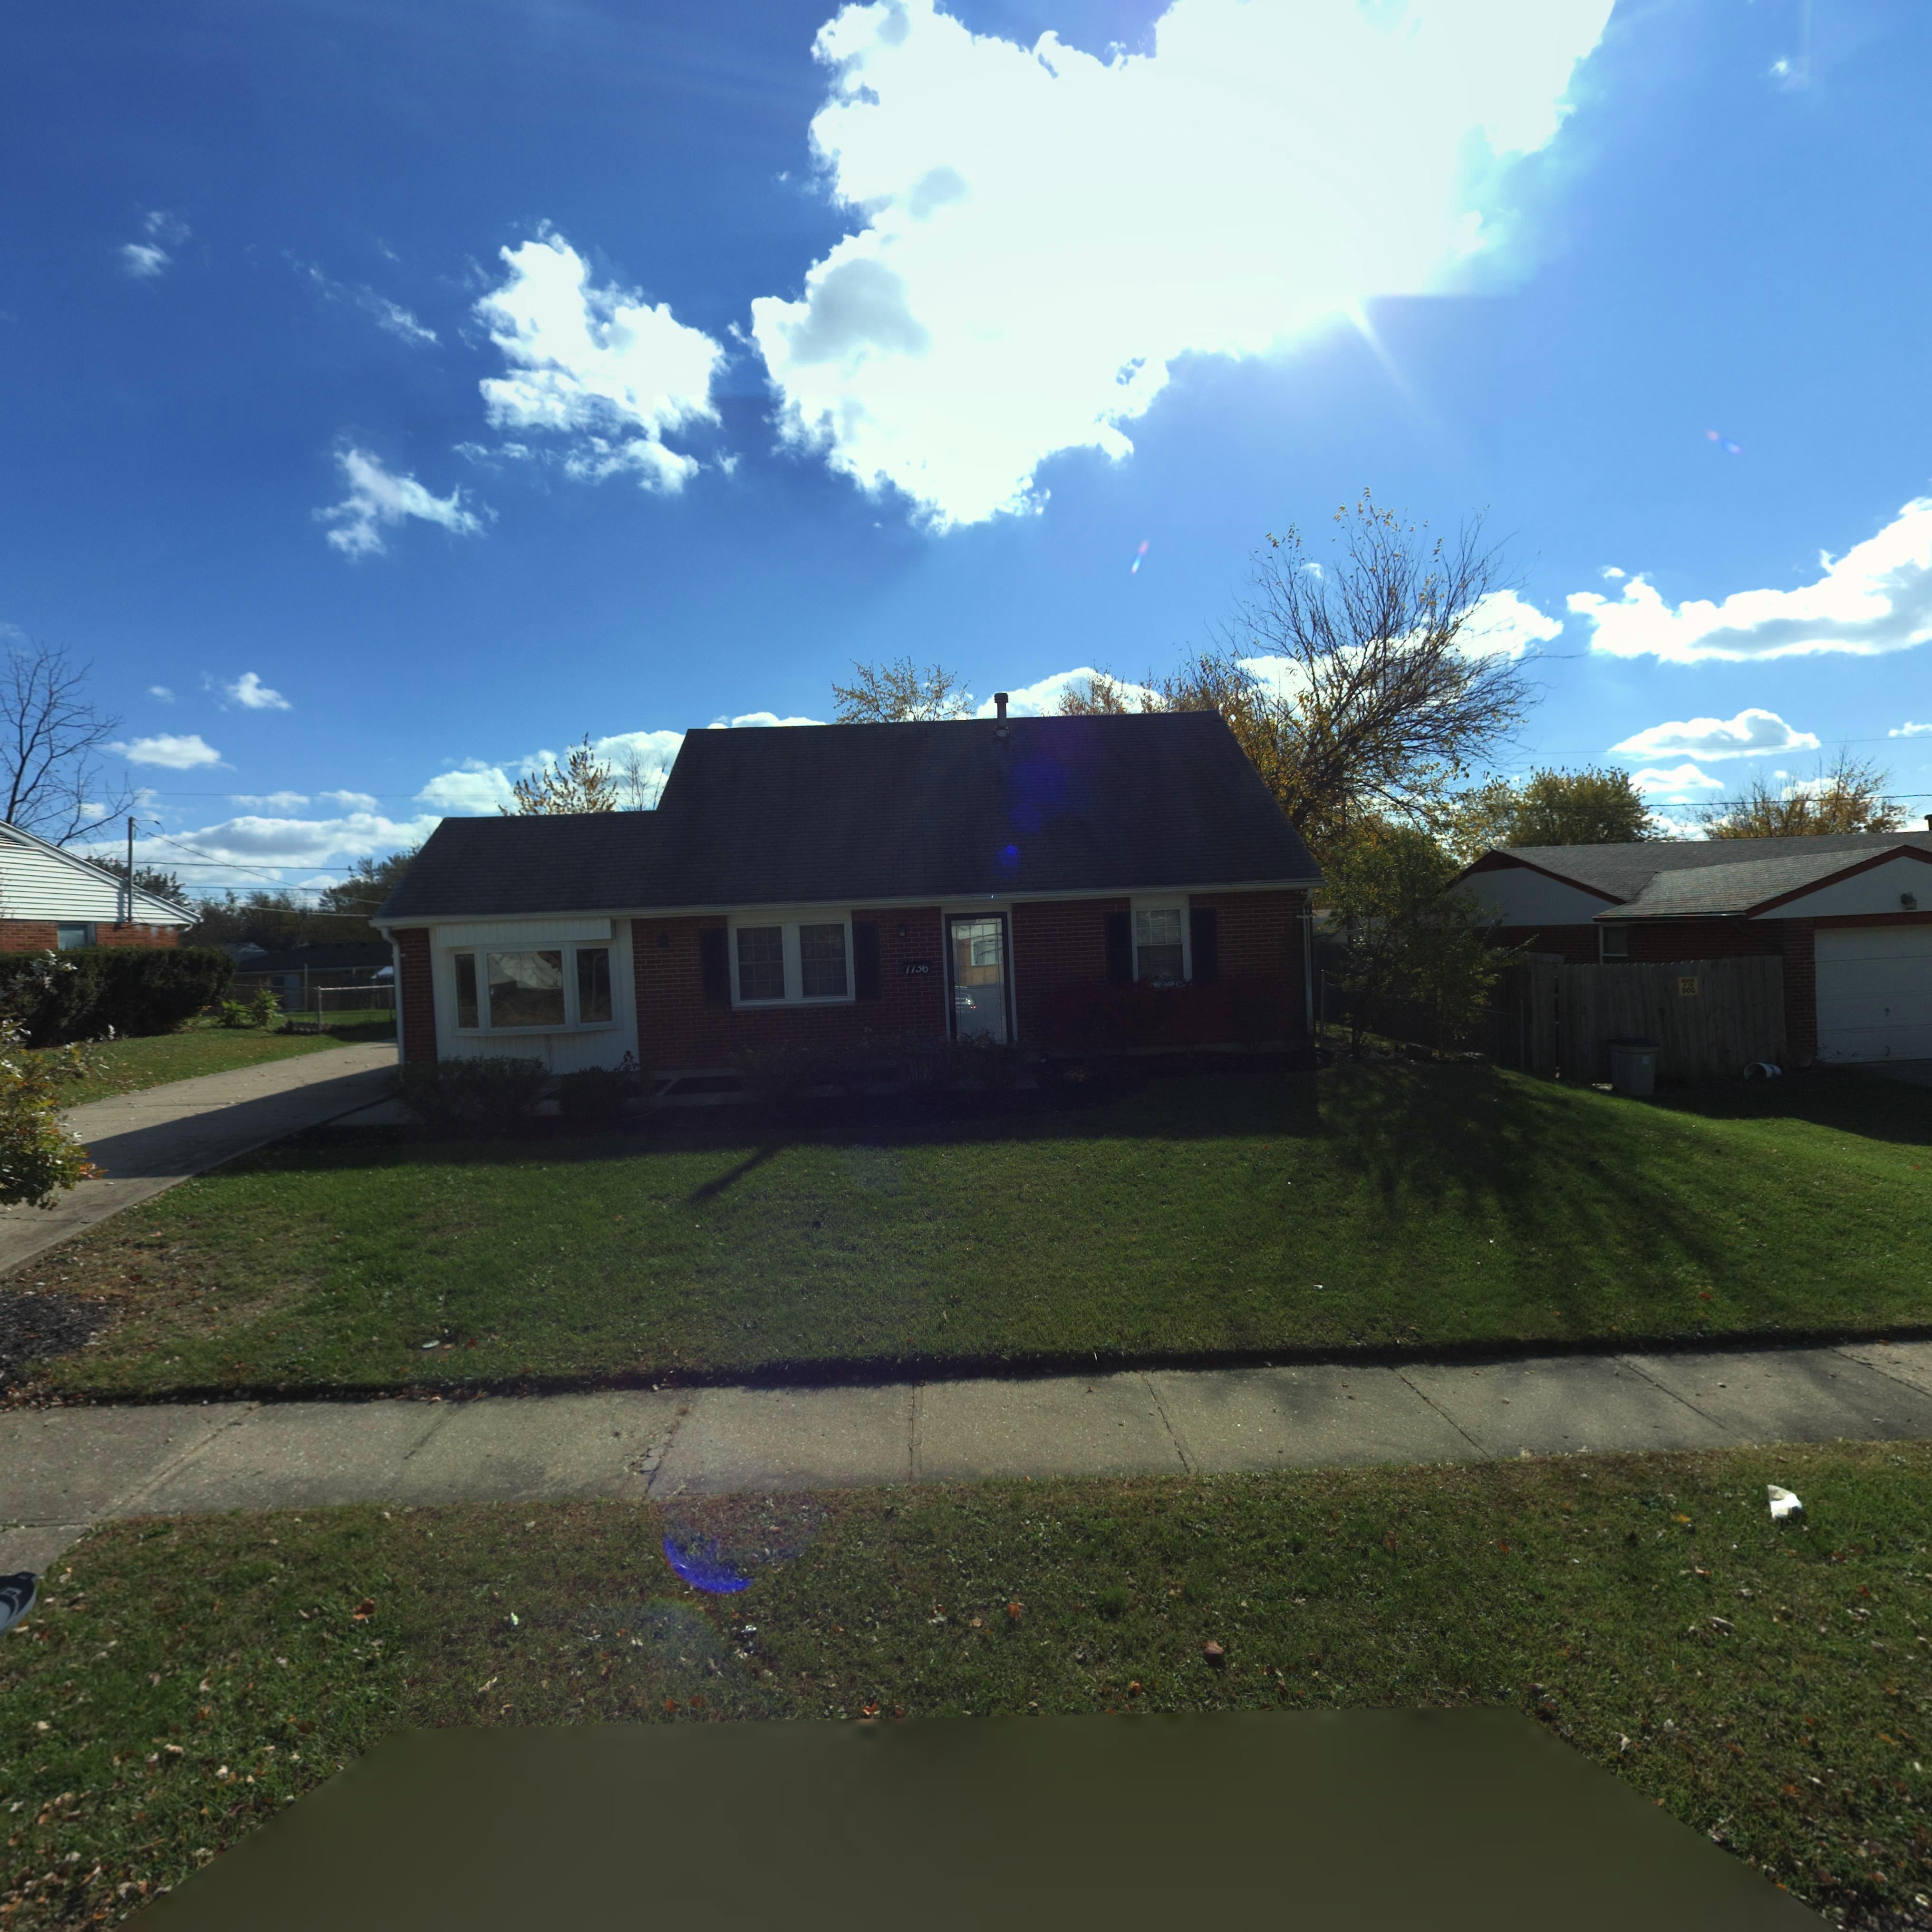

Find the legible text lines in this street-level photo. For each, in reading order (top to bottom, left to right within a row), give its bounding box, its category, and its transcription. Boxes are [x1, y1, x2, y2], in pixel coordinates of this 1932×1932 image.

[904, 963, 929, 974] StreetNumber: 7736